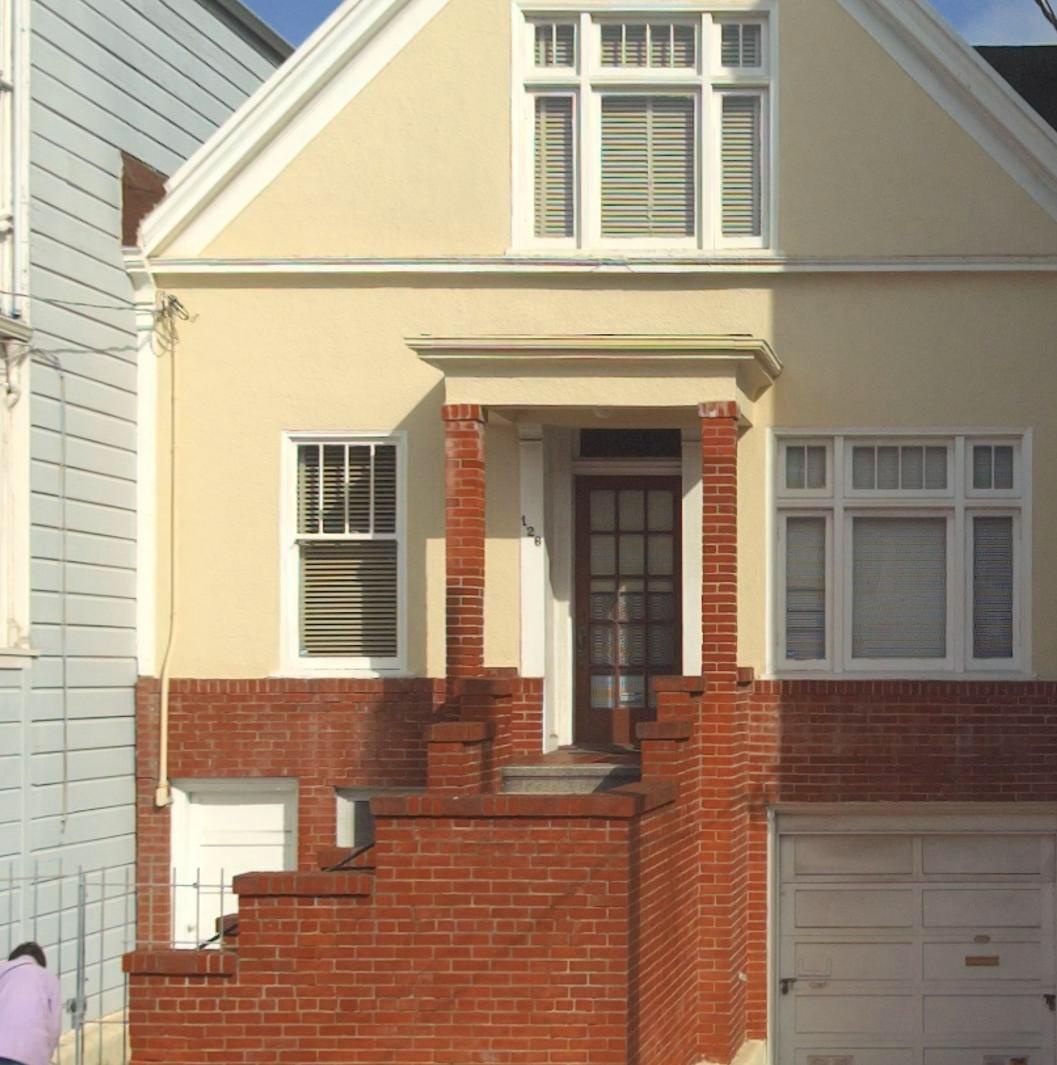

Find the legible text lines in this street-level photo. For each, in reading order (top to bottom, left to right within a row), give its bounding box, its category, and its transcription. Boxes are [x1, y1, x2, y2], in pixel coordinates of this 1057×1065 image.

[519, 513, 543, 549] StreetNumber: 126